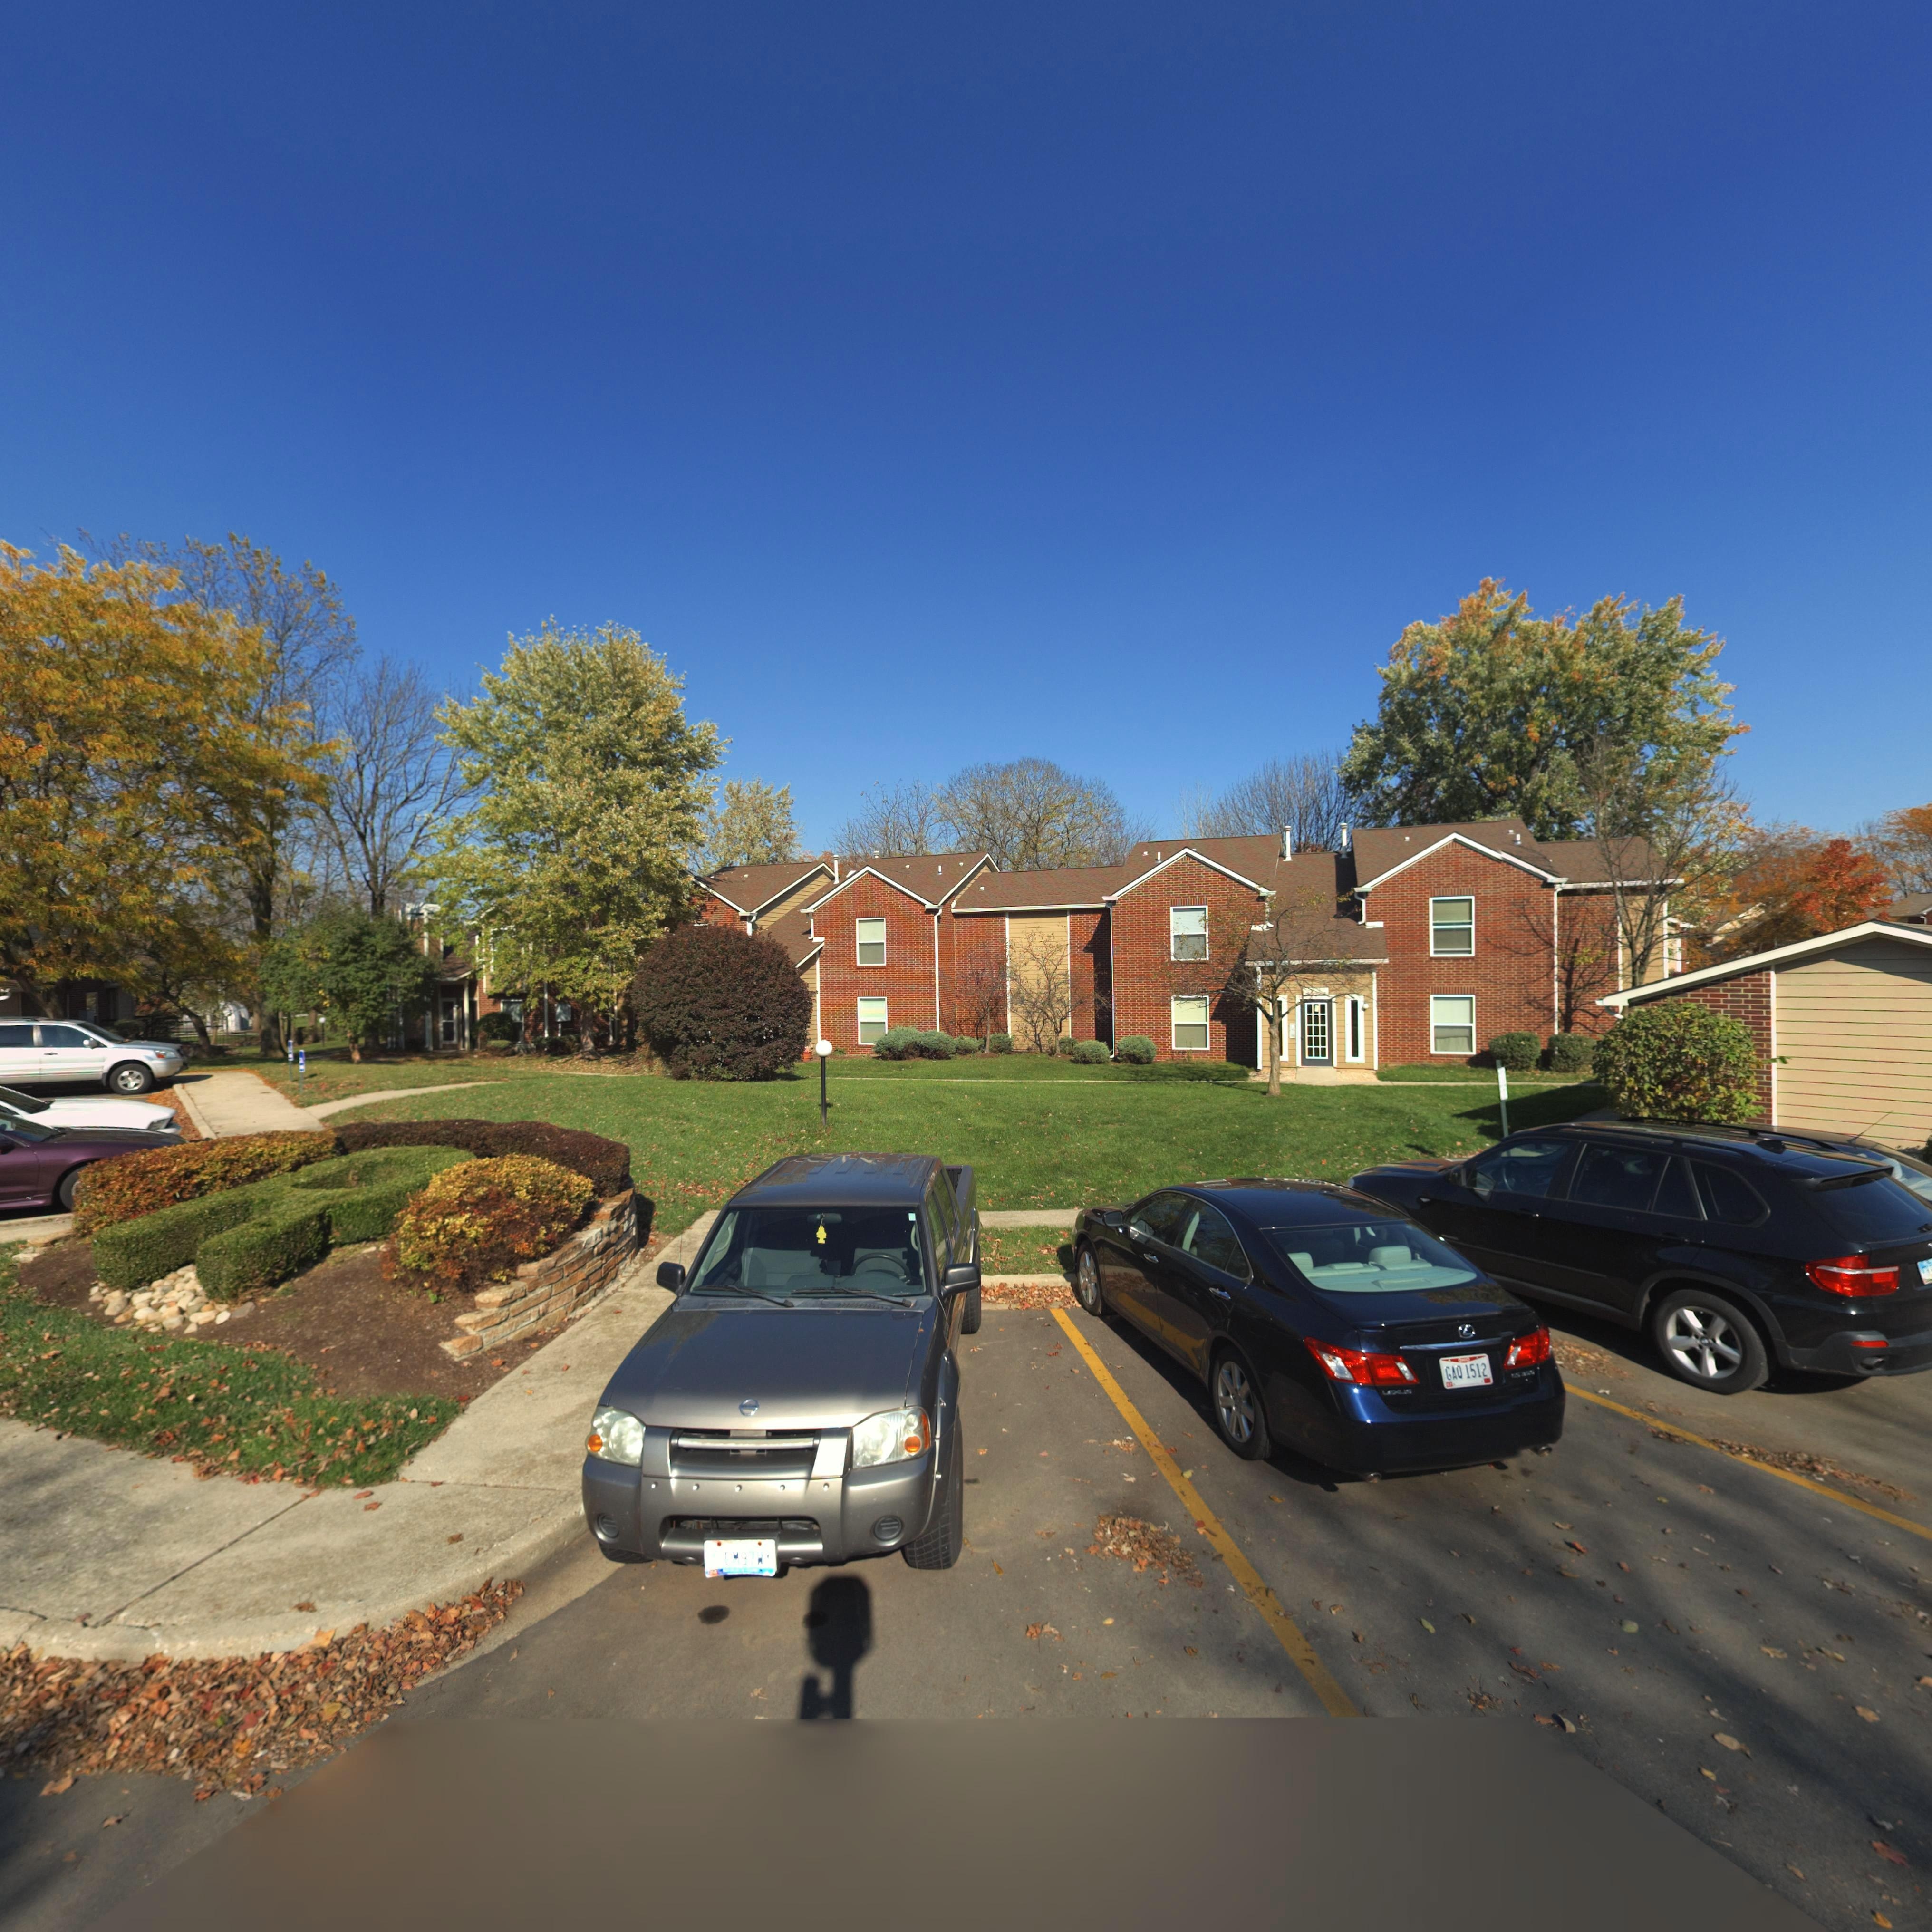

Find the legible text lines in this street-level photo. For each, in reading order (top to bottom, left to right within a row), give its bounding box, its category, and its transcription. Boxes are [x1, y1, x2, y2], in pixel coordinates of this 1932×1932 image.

[1443, 1361, 1490, 1382] None: GAQ 1512